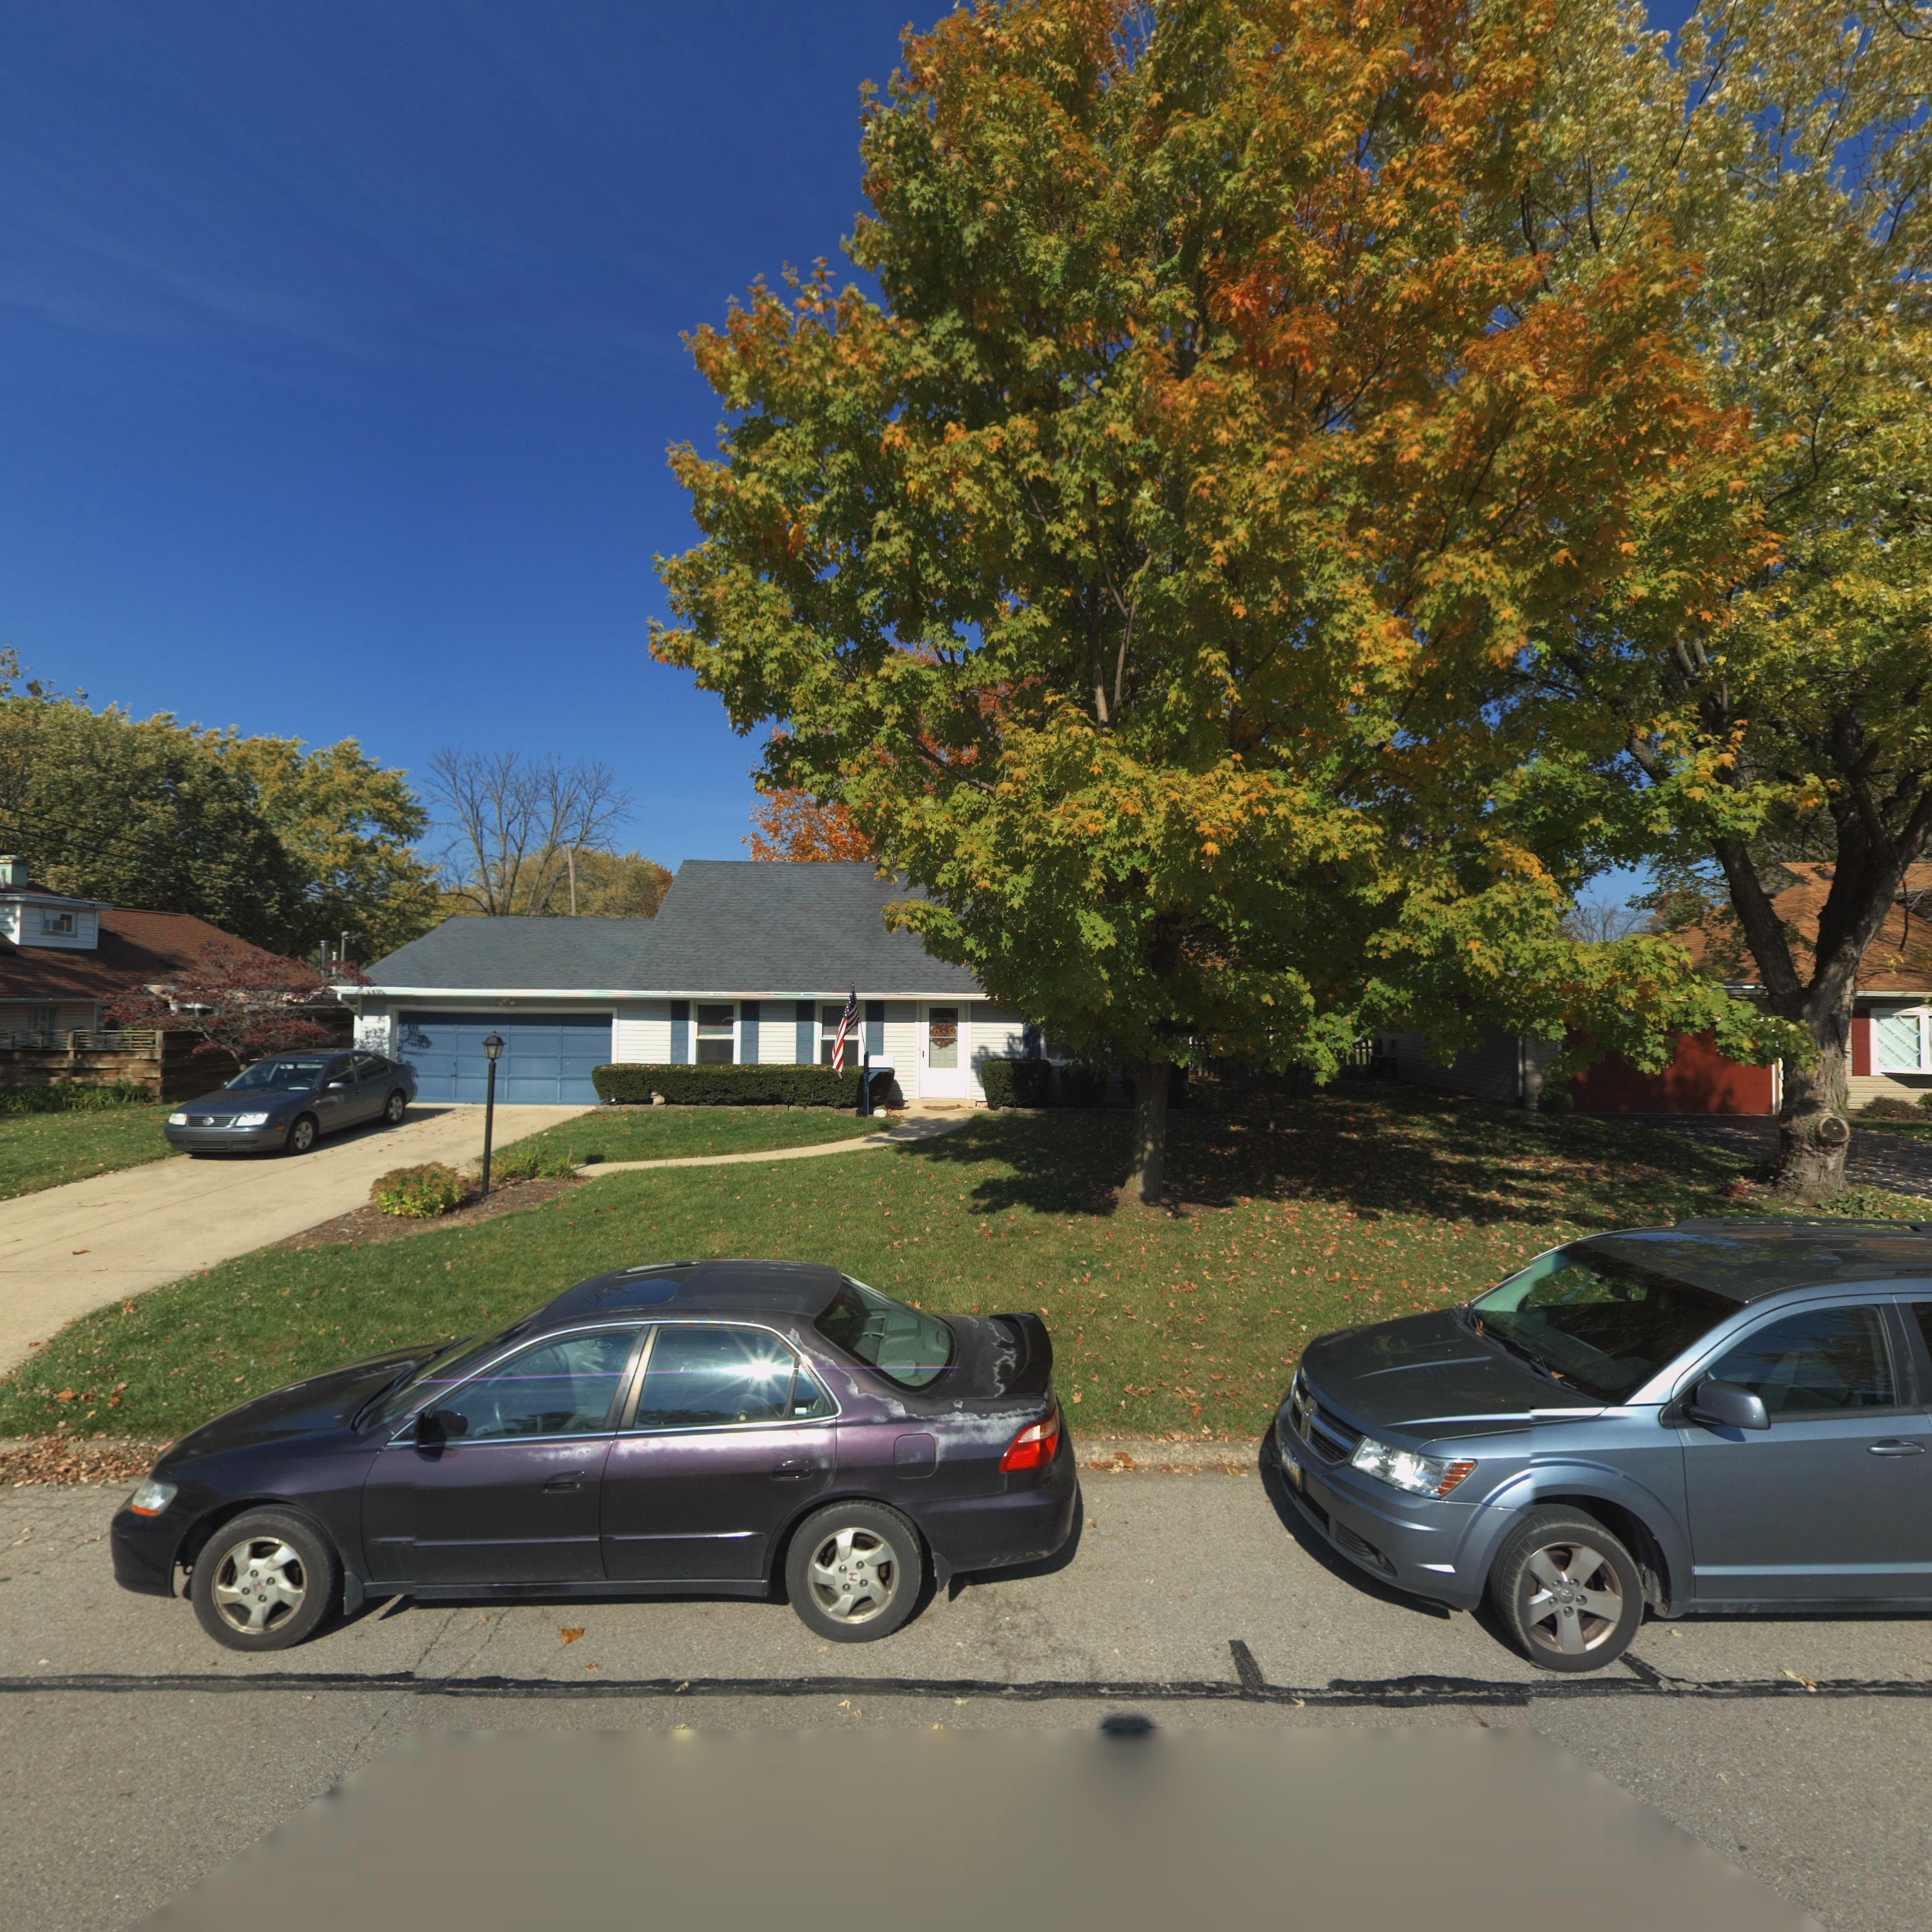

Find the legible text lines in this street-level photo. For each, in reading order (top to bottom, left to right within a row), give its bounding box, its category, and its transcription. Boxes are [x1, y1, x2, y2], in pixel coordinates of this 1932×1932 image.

[863, 1072, 869, 1093] StreetNumber: 813